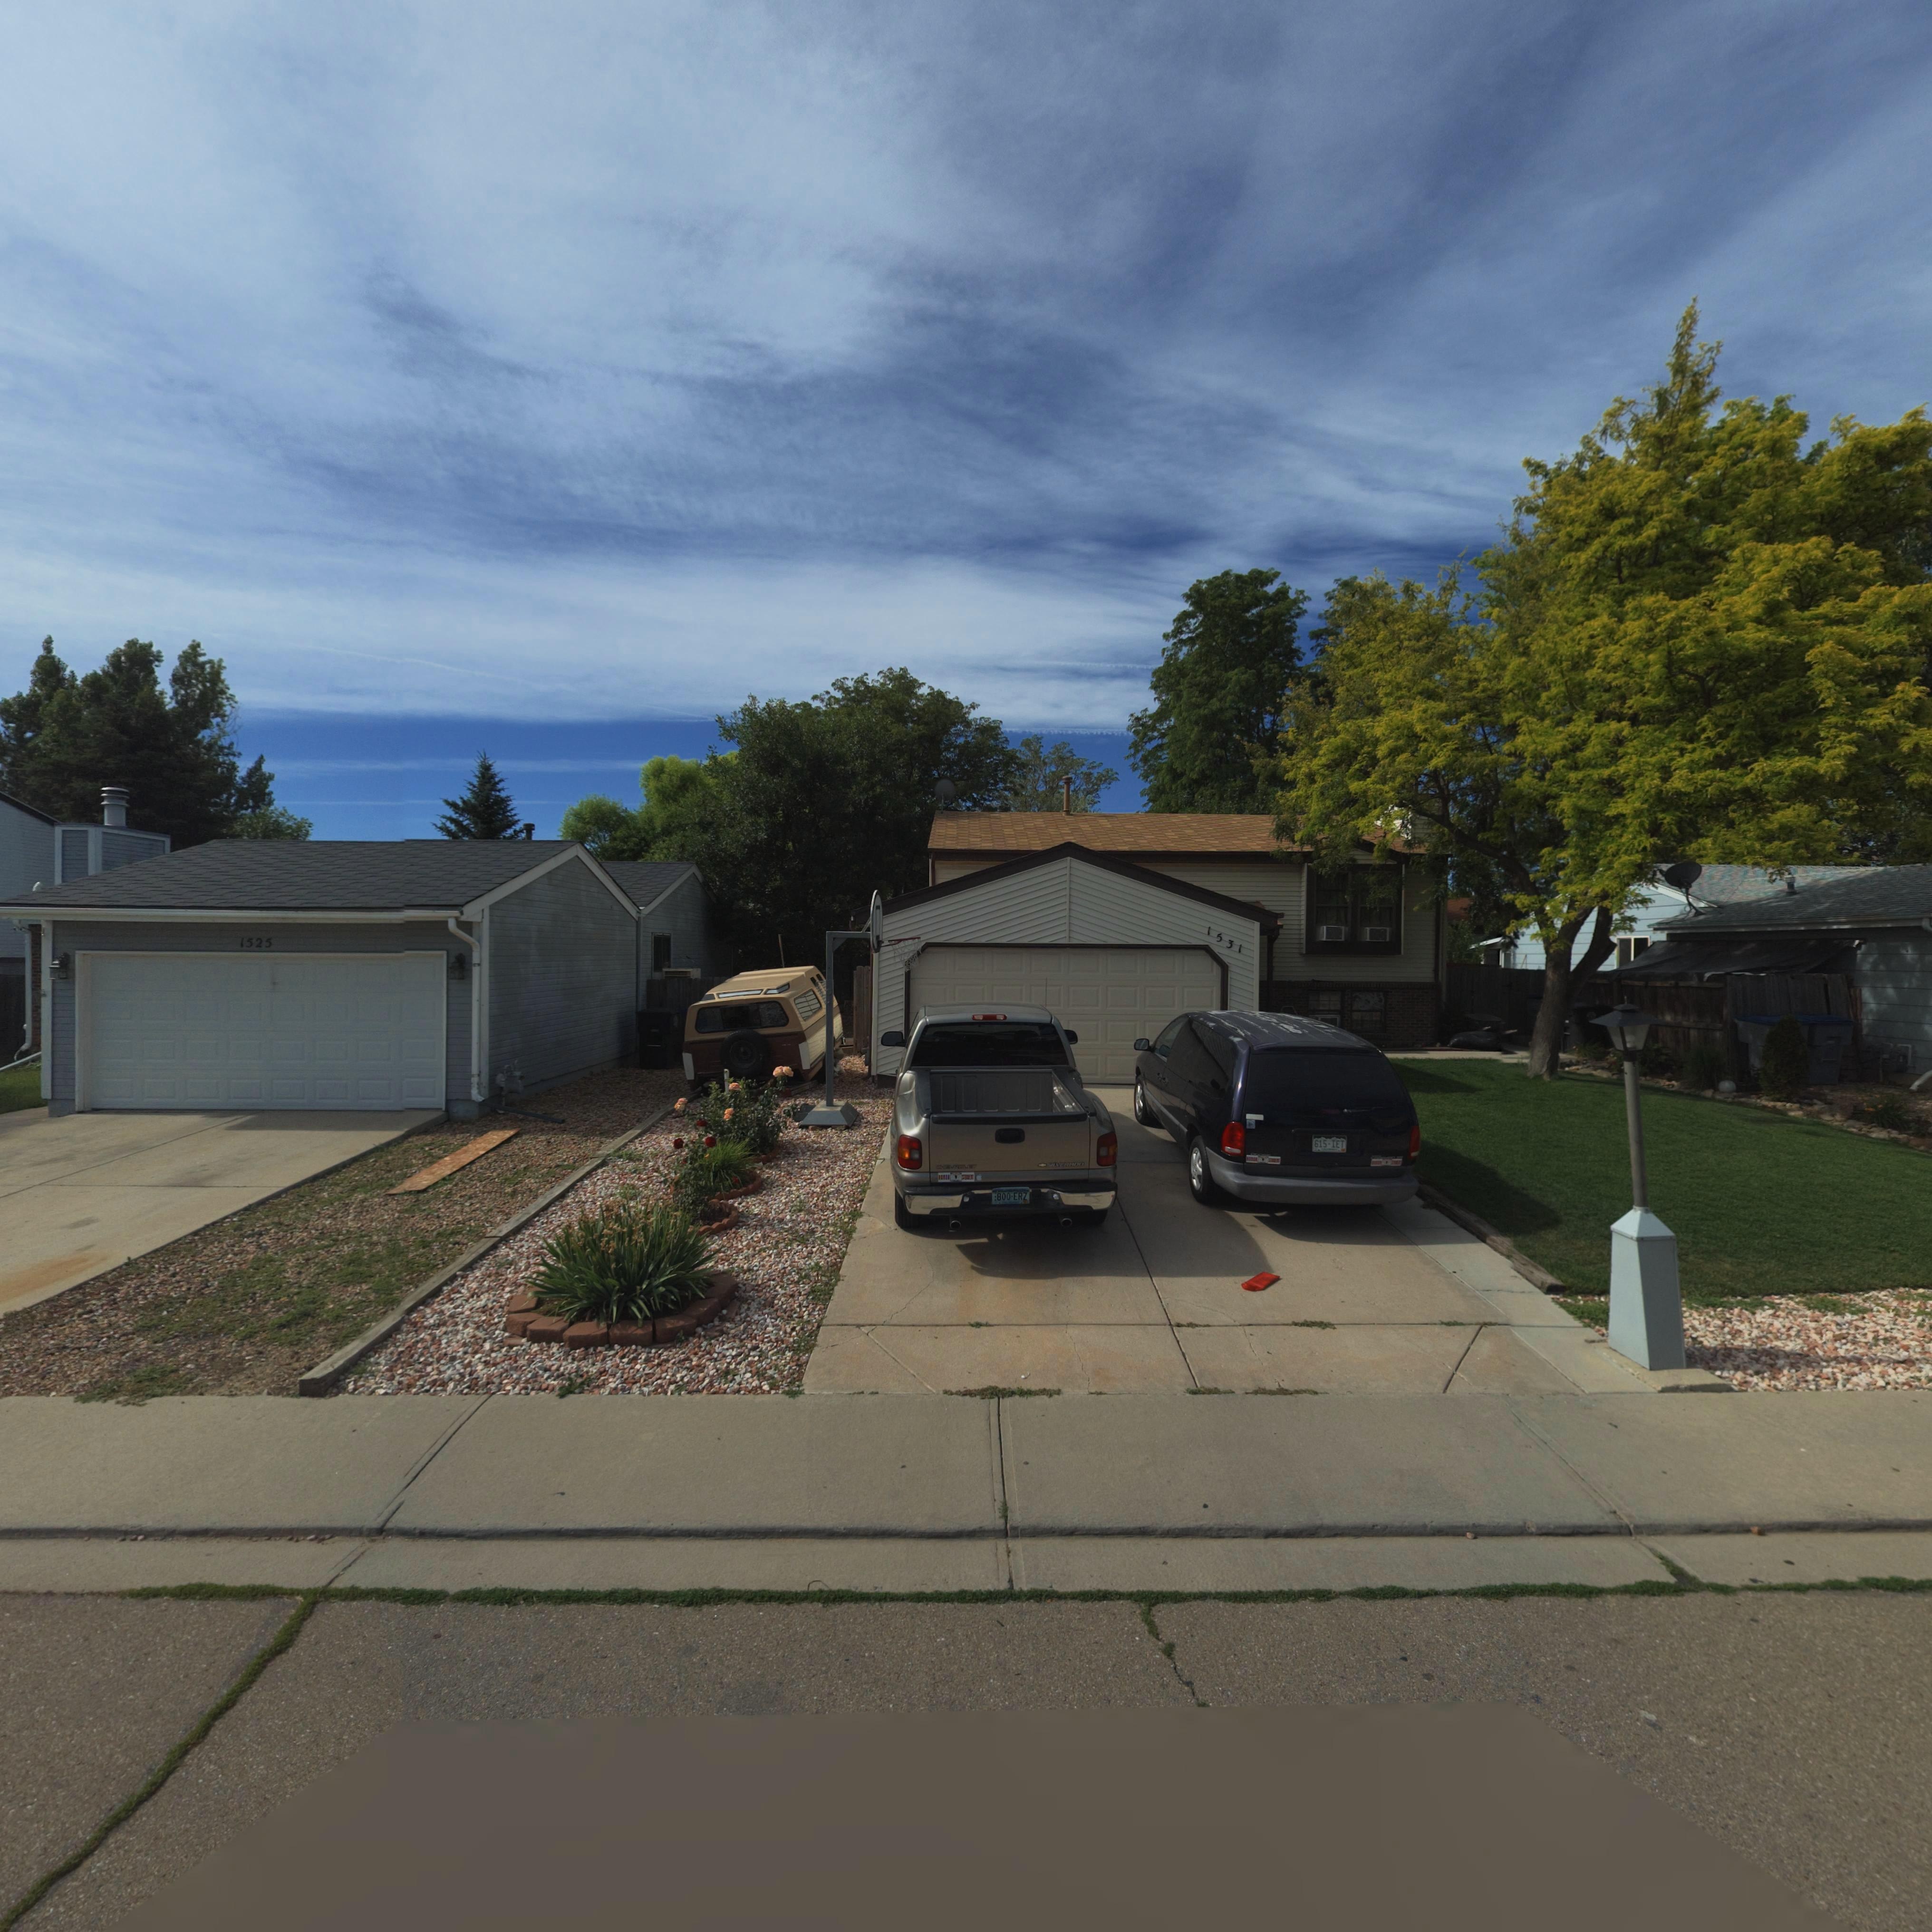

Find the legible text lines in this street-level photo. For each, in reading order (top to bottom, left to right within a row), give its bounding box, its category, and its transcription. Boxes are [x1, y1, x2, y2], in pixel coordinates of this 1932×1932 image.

[239, 936, 273, 948] StreetNumber: 1525
[1206, 925, 1242, 953] StreetNumber: 1531